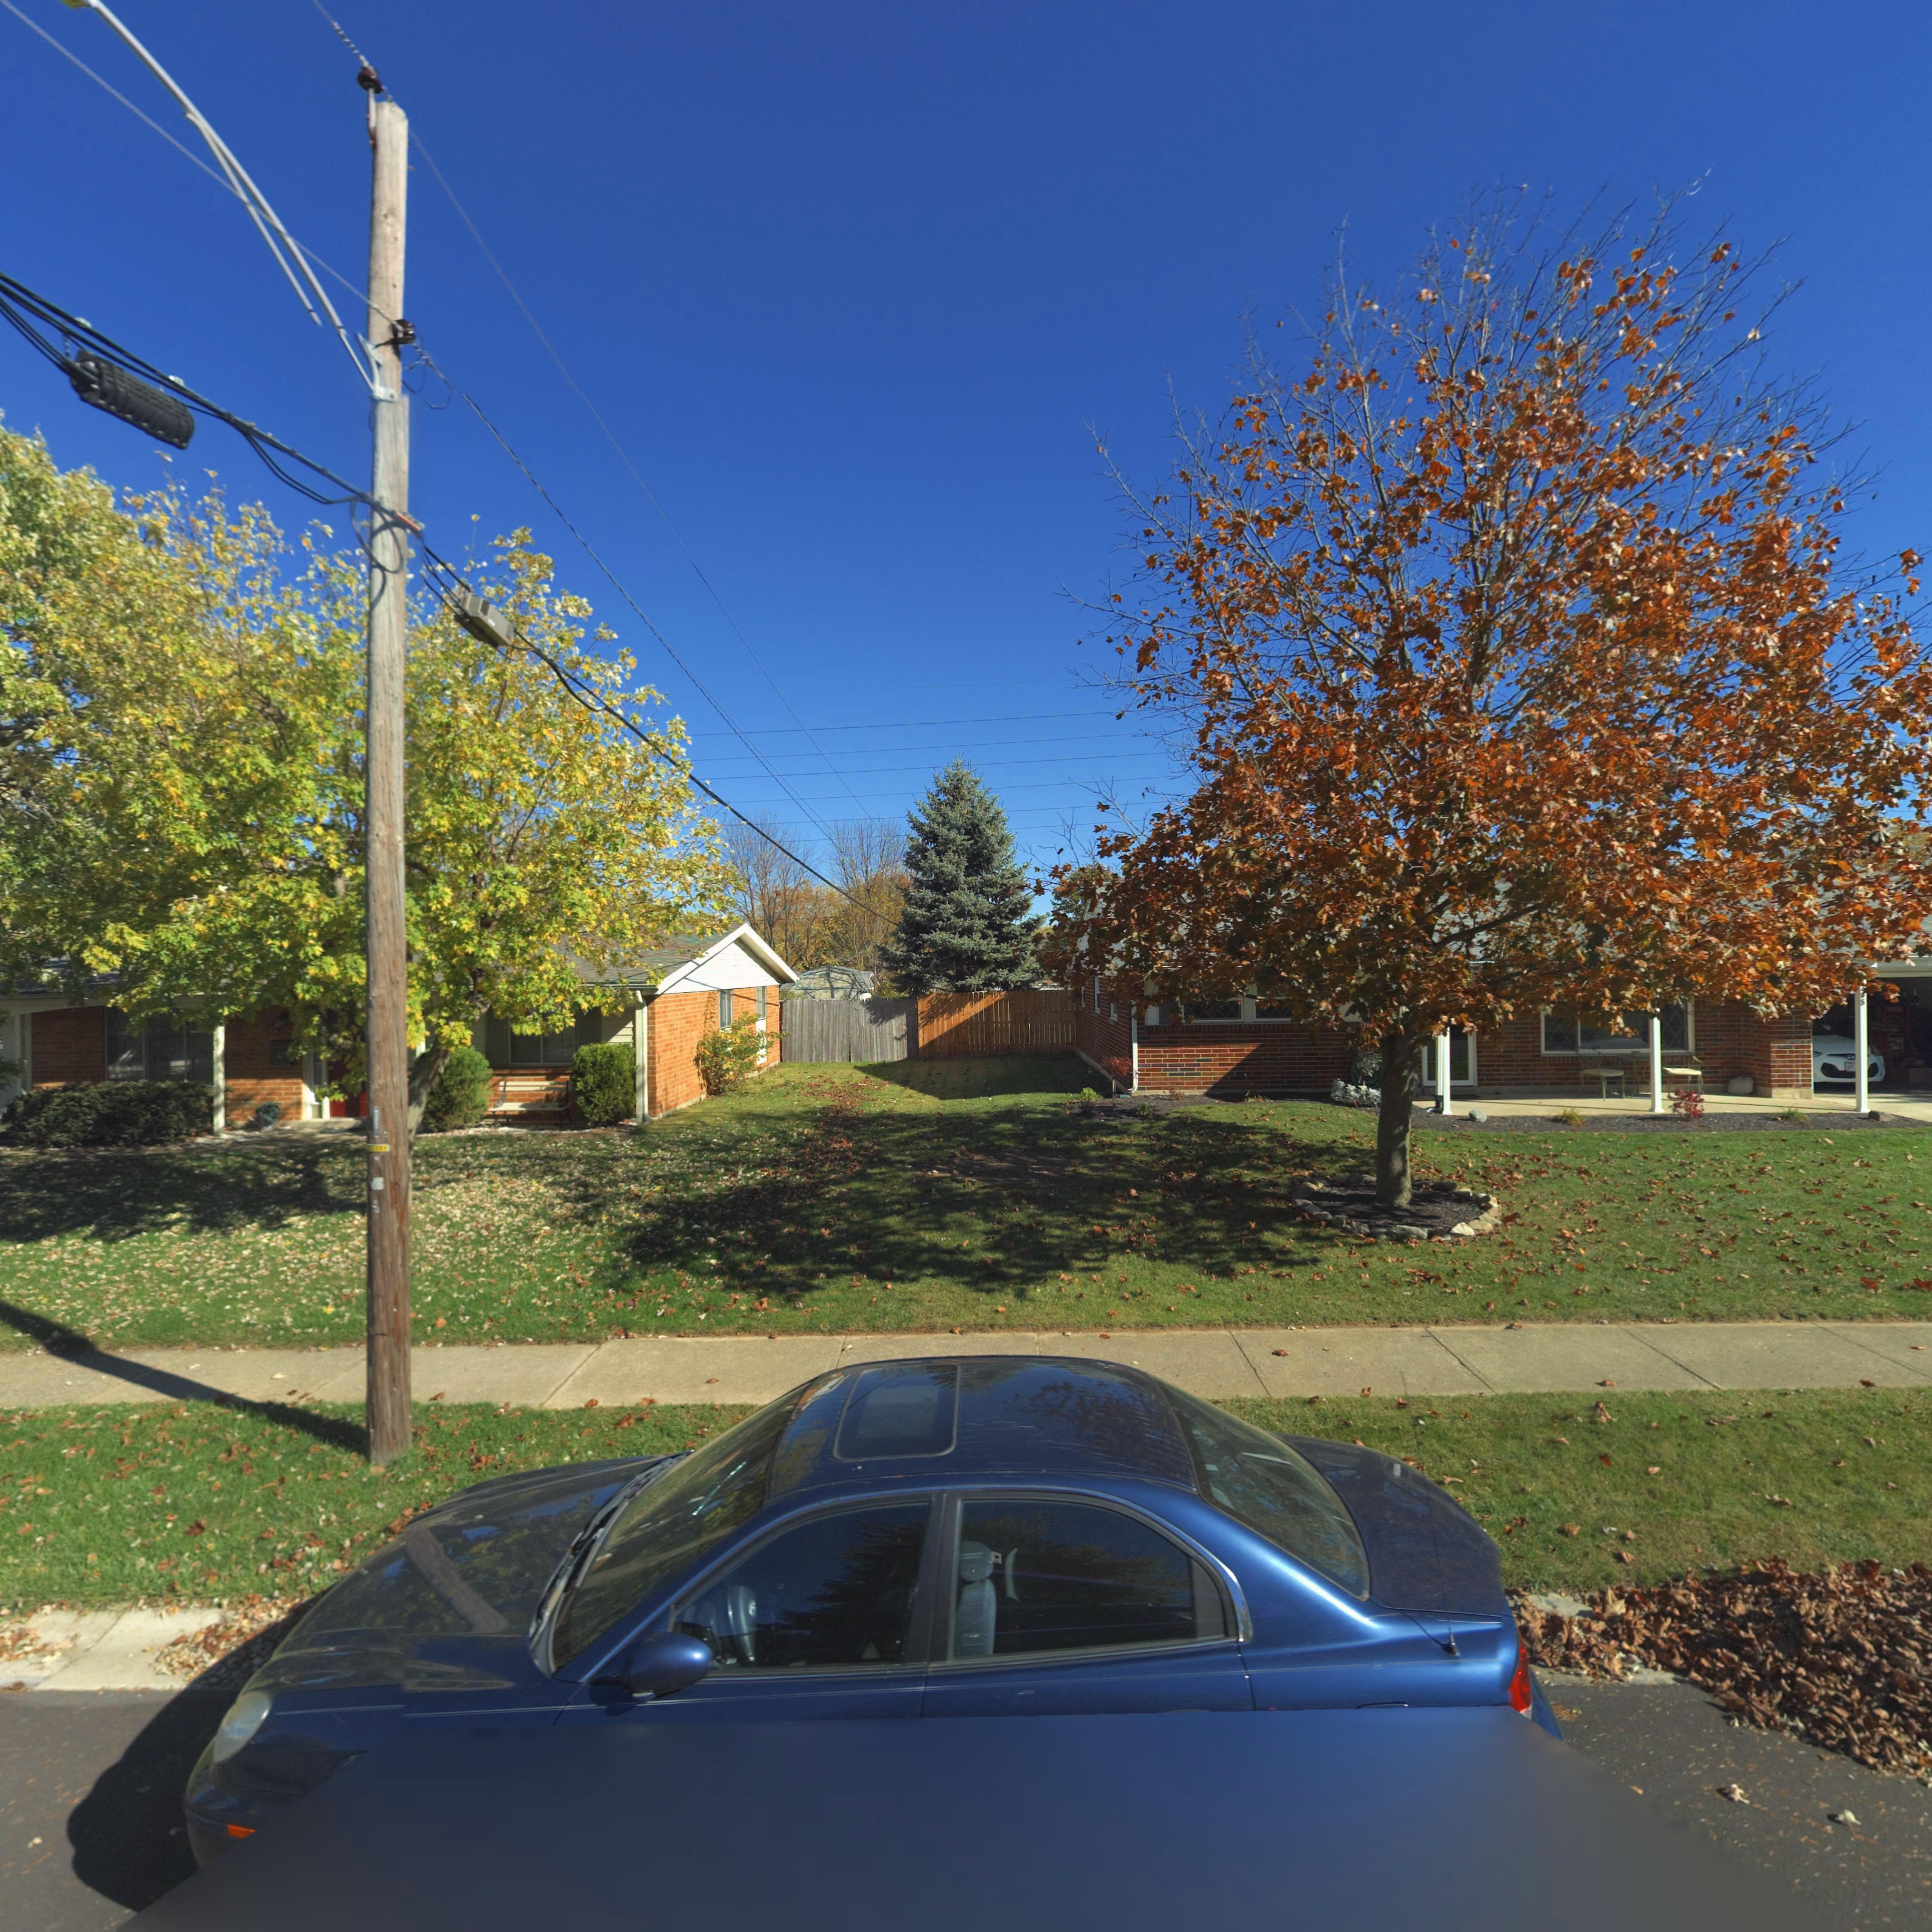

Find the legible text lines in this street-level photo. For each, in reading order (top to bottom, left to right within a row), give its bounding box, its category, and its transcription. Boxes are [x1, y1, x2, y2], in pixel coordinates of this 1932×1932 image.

[1859, 998, 1865, 1006] StreetNumber: 5